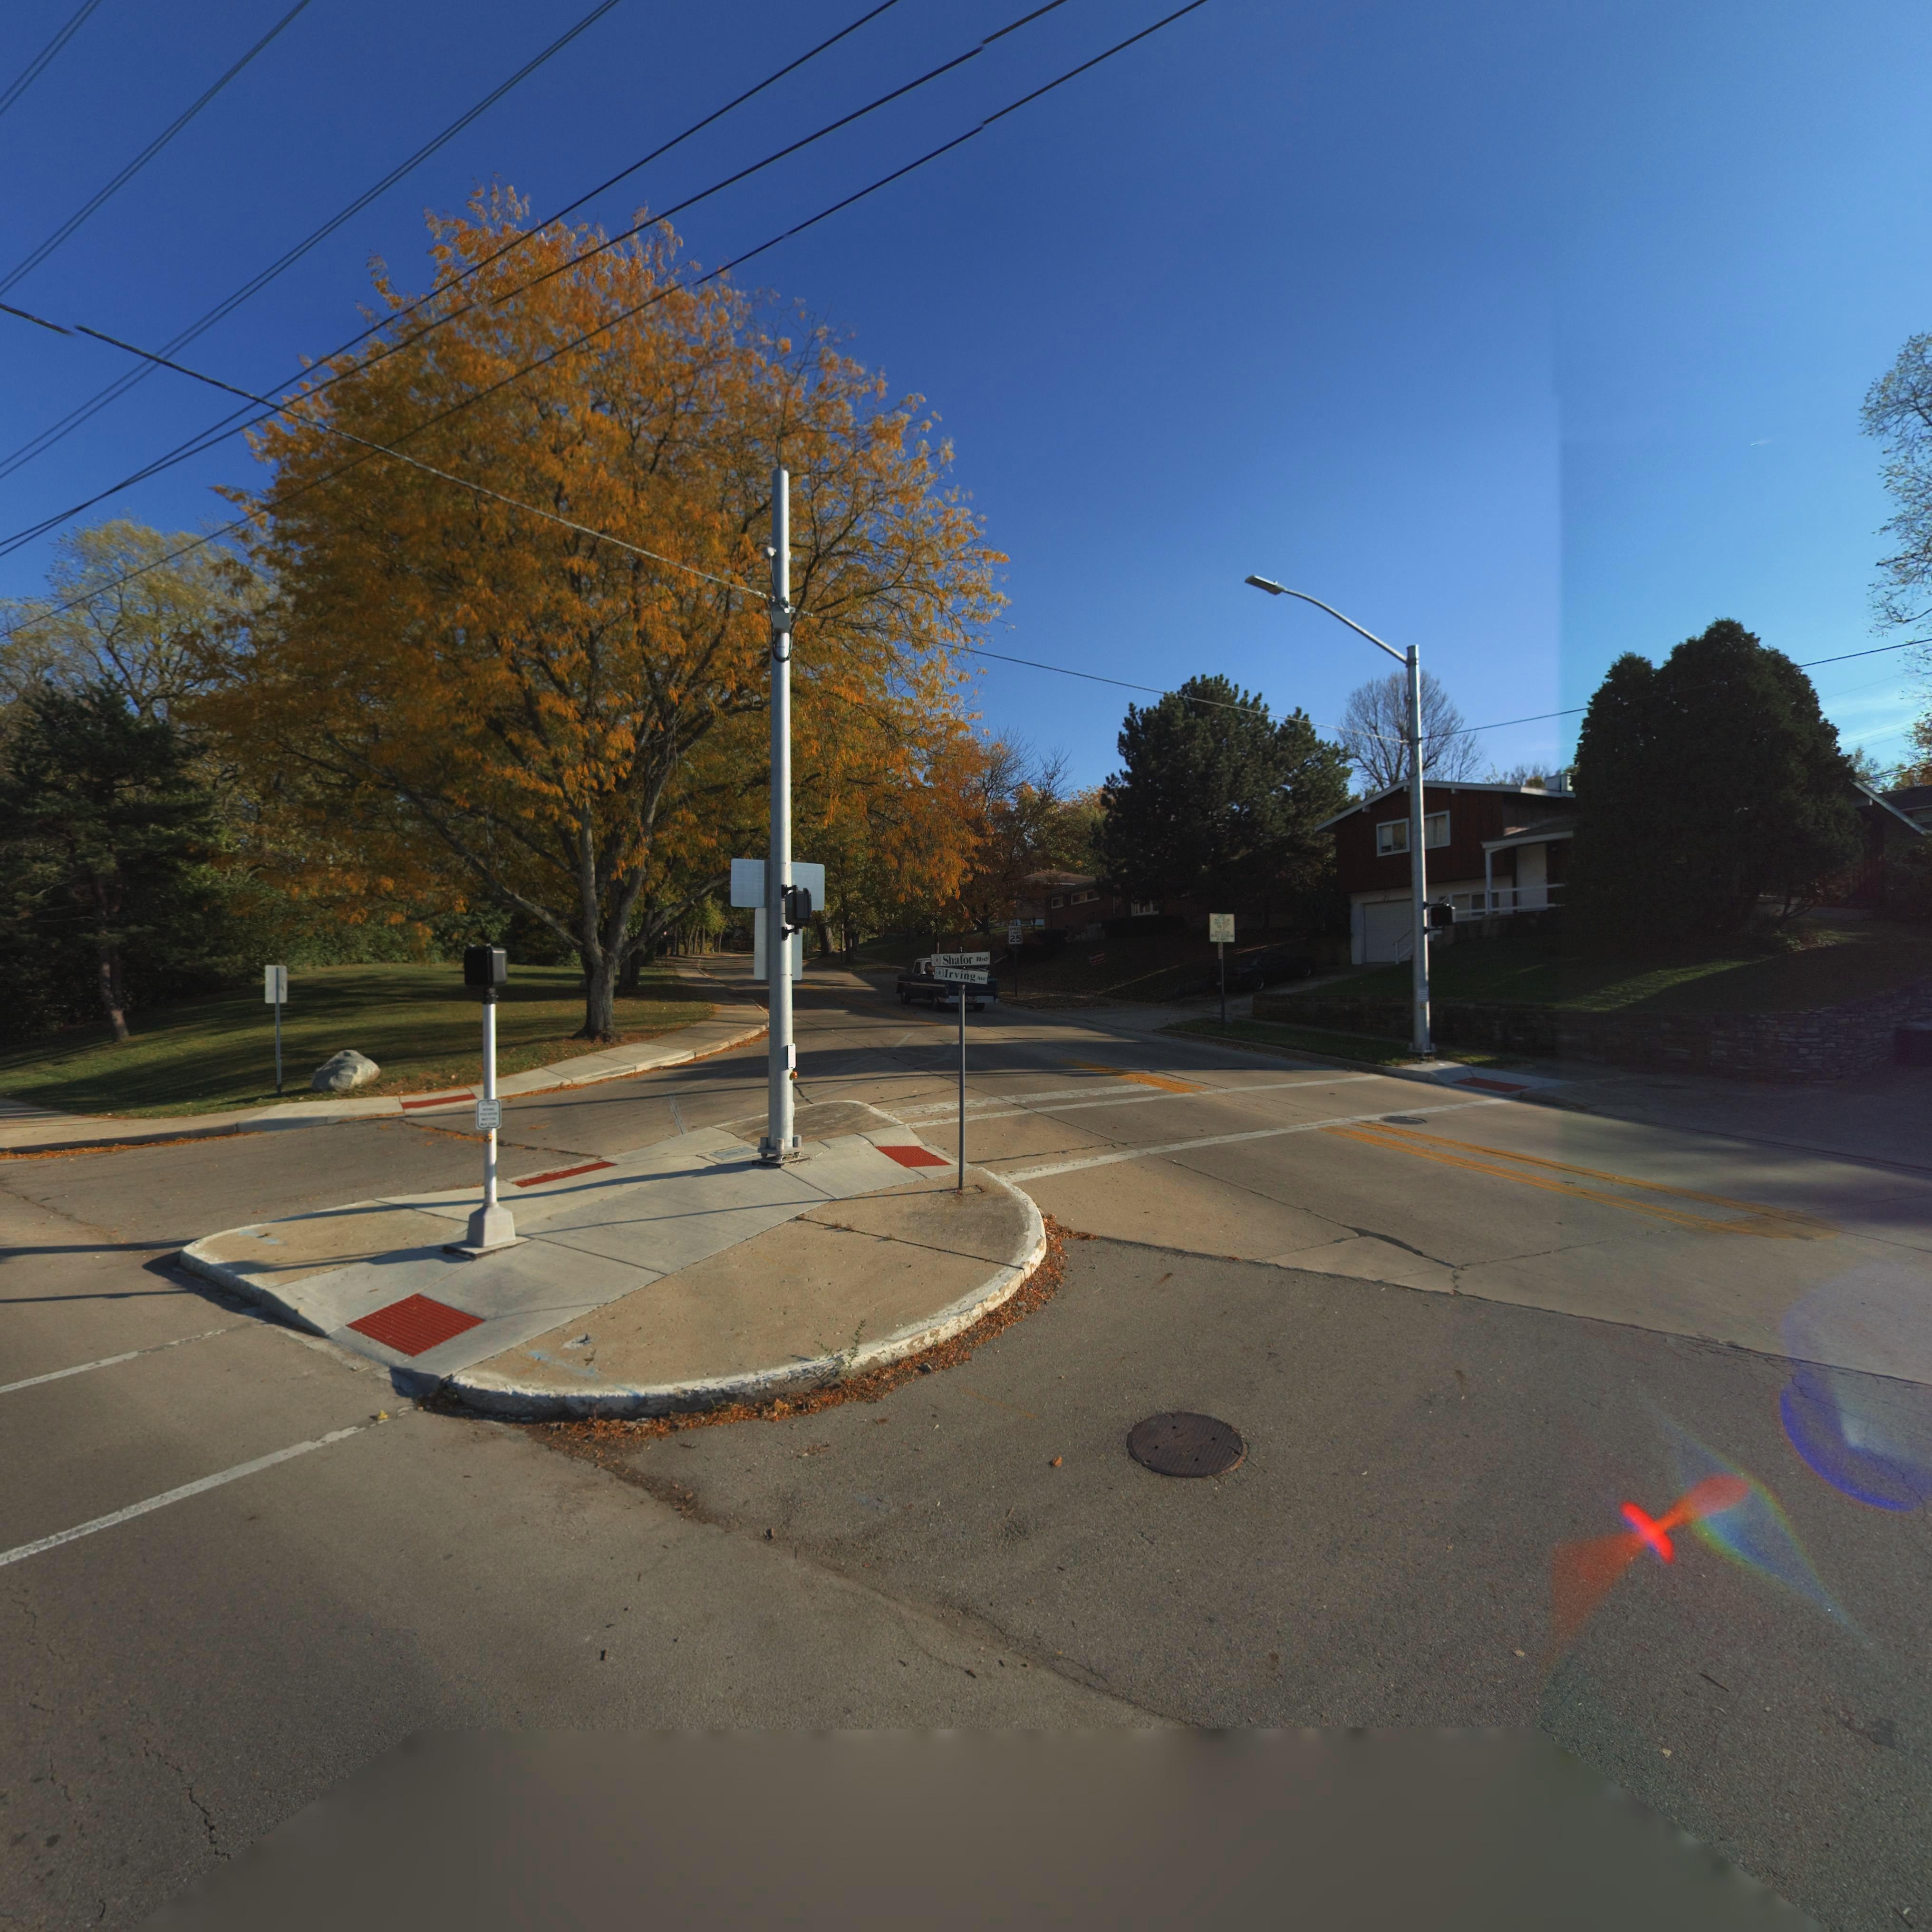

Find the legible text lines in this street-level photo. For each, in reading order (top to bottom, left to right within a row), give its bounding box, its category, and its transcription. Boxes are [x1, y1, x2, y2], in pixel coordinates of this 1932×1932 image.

[1382, 894, 1391, 901] StreetNumber: 21
[942, 953, 987, 965] StreetName: Shafor Blvd
[943, 968, 986, 983] StreetName: Irving Ave